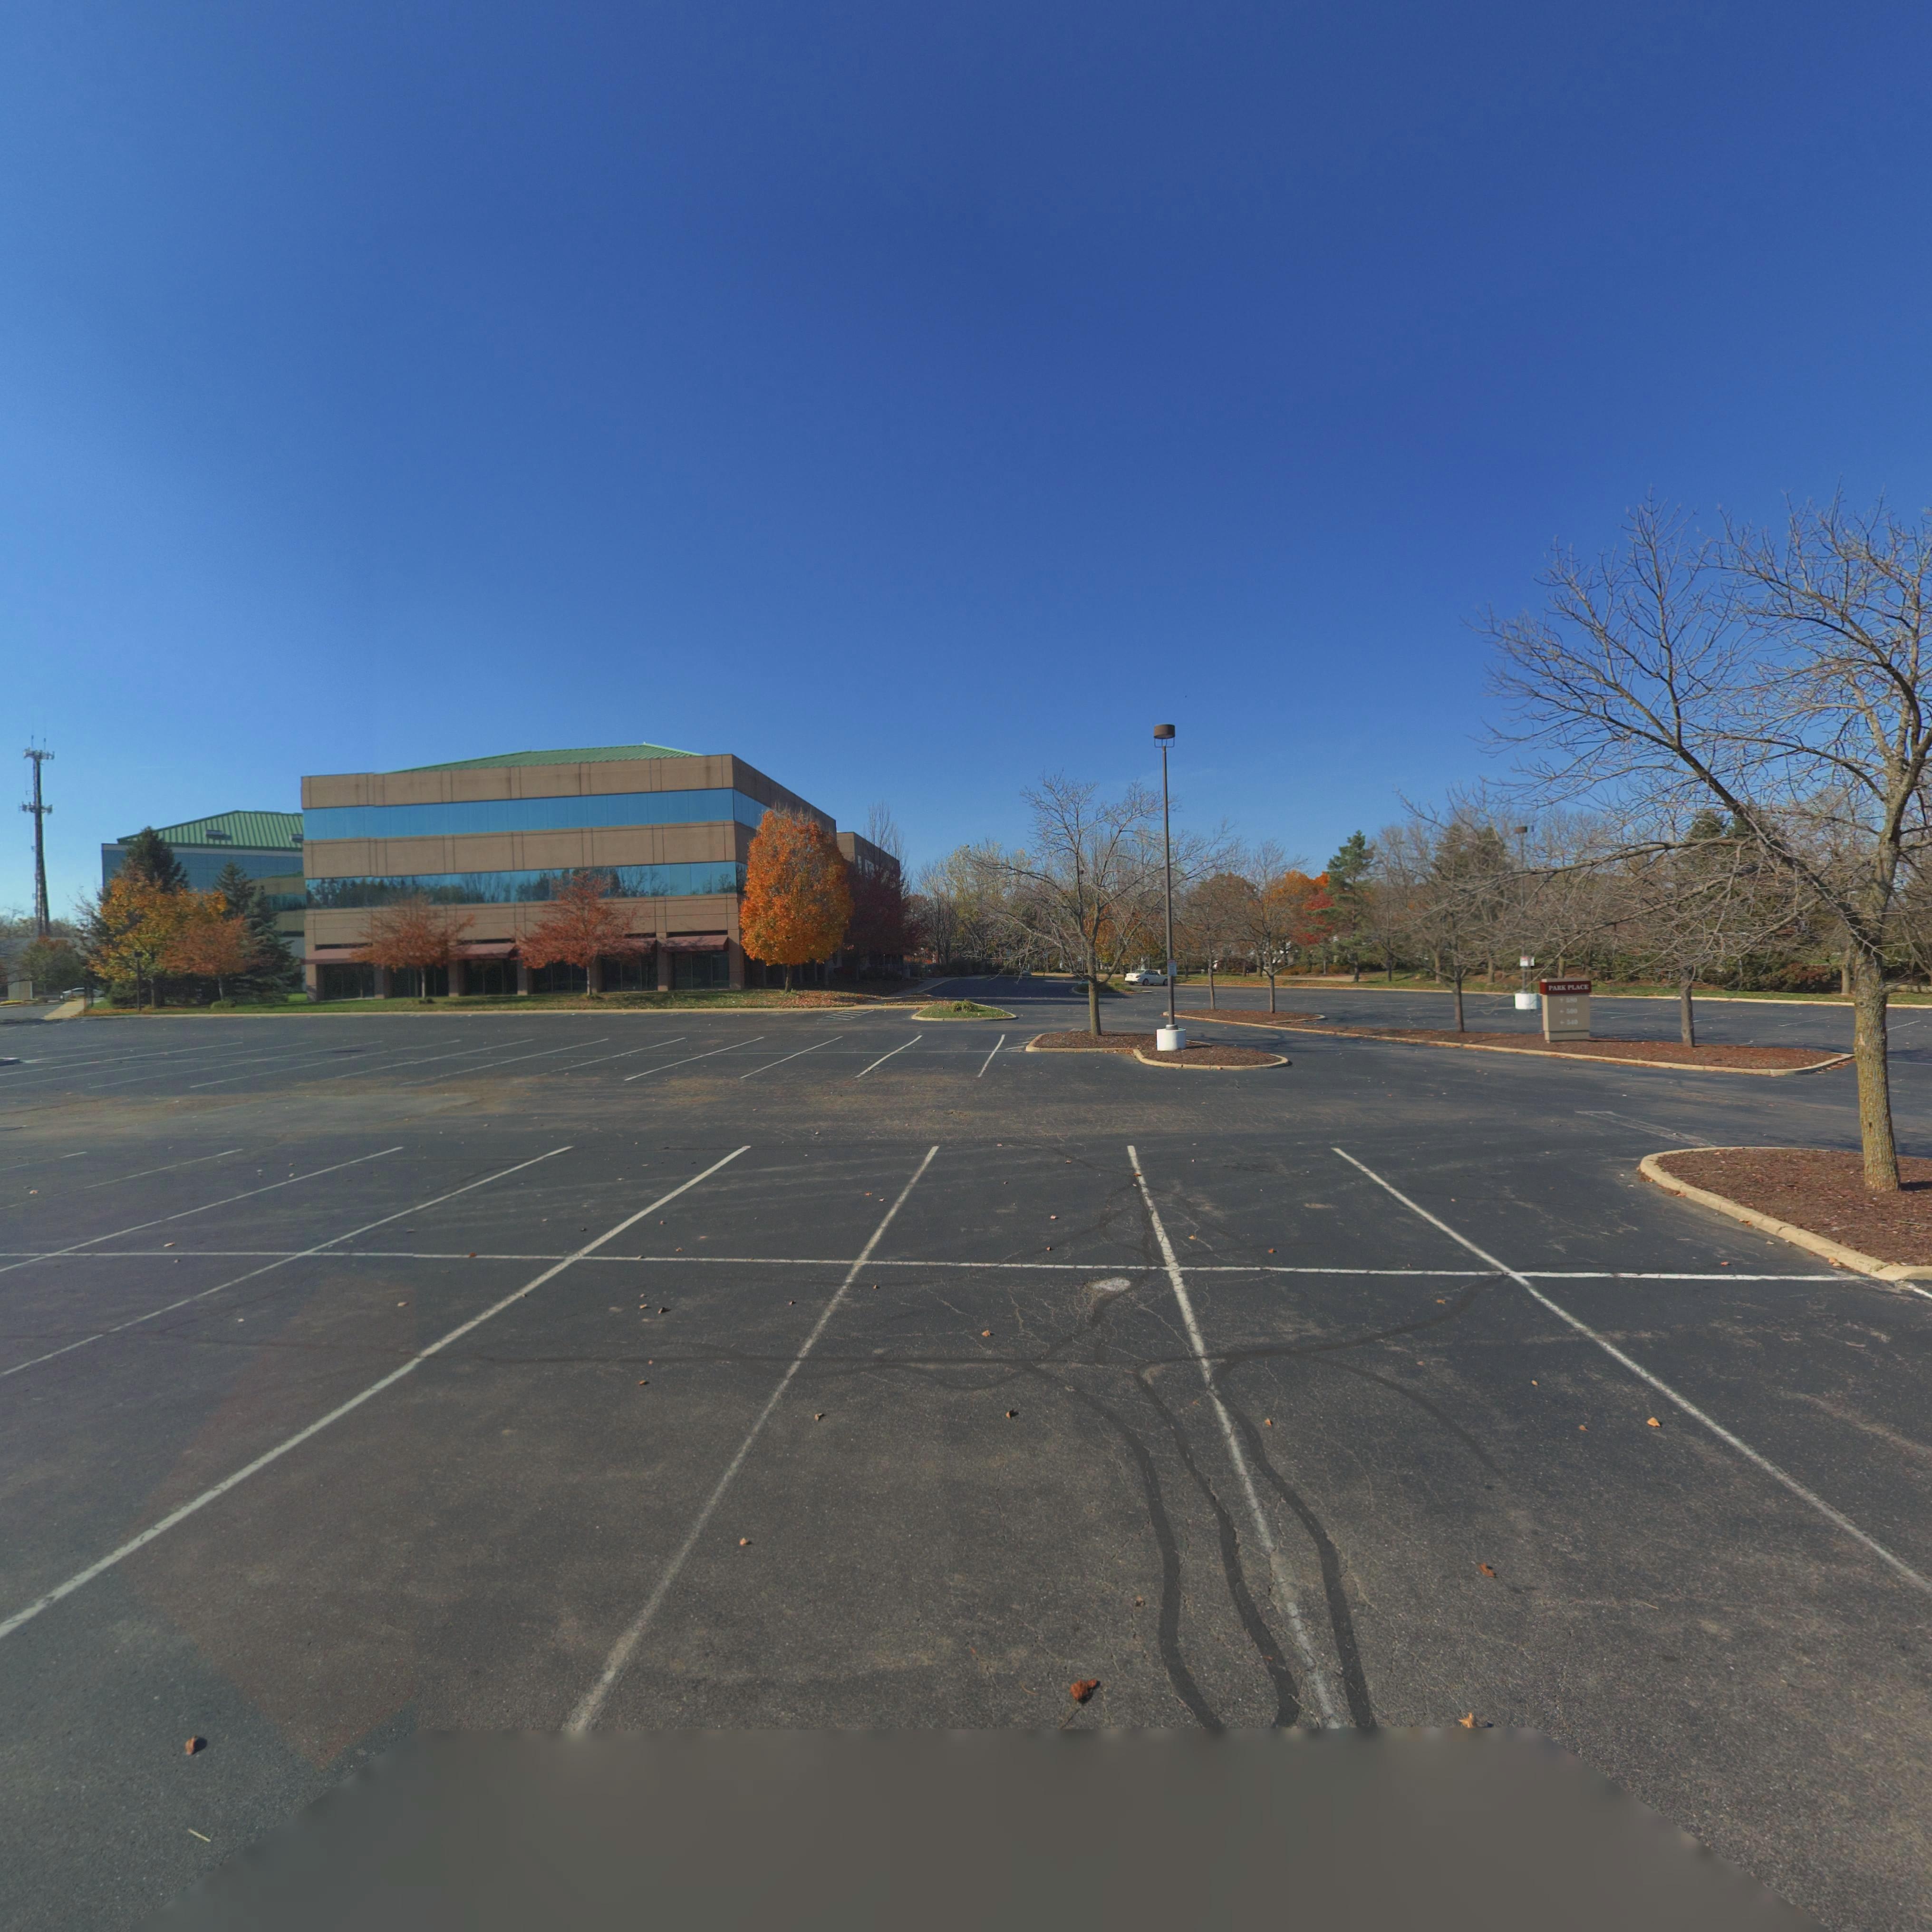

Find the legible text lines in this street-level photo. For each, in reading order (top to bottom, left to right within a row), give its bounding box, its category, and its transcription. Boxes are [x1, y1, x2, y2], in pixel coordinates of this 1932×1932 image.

[1547, 984, 1590, 990] None: PARK PLACE
[1565, 996, 1577, 1003] StreetNumber: 580
[1566, 1007, 1578, 1014] StreetNumber: 500
[1566, 1018, 1578, 1024] StreetNumber: 540